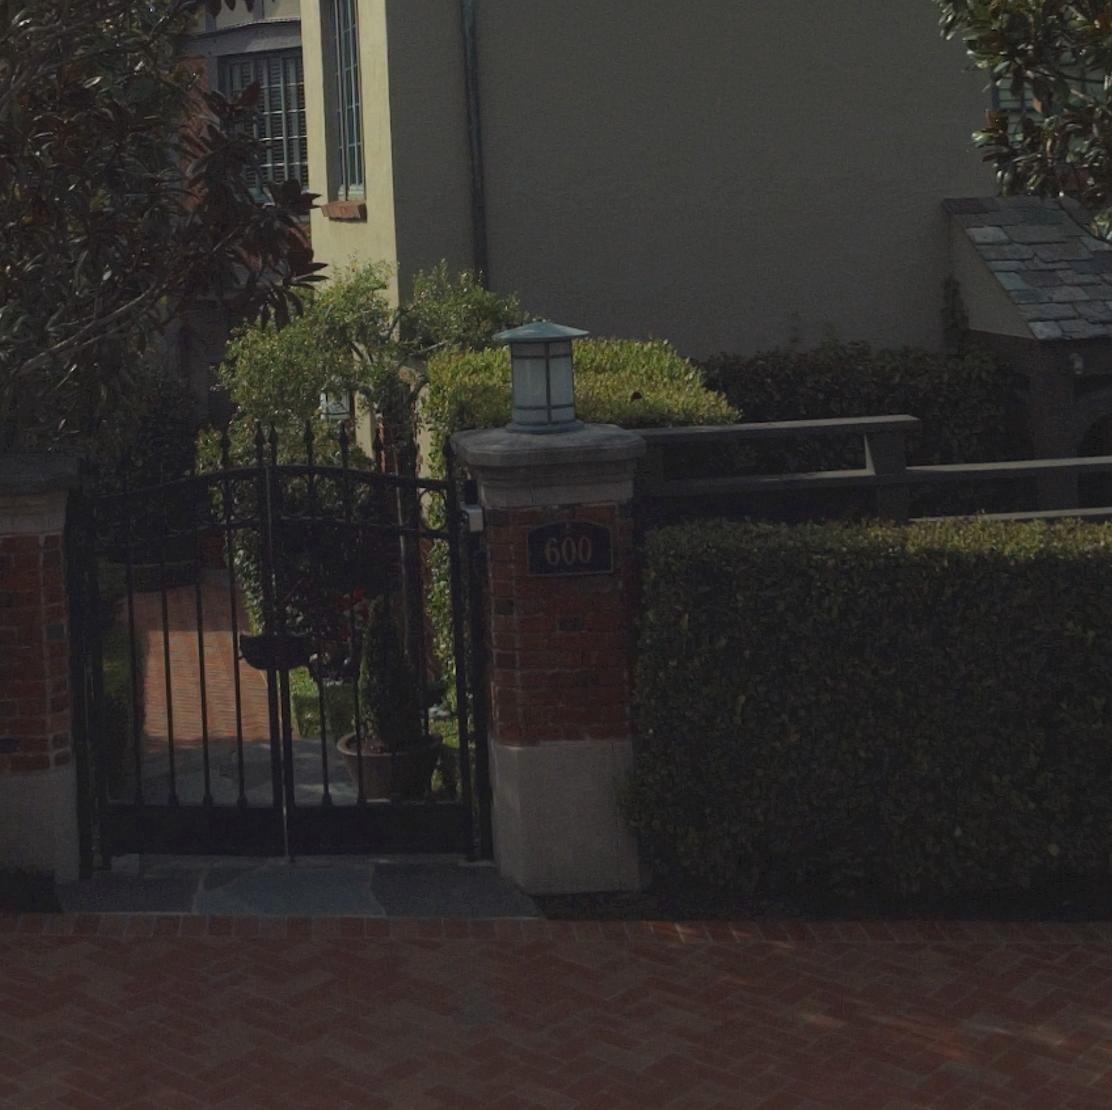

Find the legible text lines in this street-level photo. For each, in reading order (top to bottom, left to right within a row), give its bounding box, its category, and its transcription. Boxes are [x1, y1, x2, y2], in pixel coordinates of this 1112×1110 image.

[543, 534, 593, 569] StreetNumber: 600